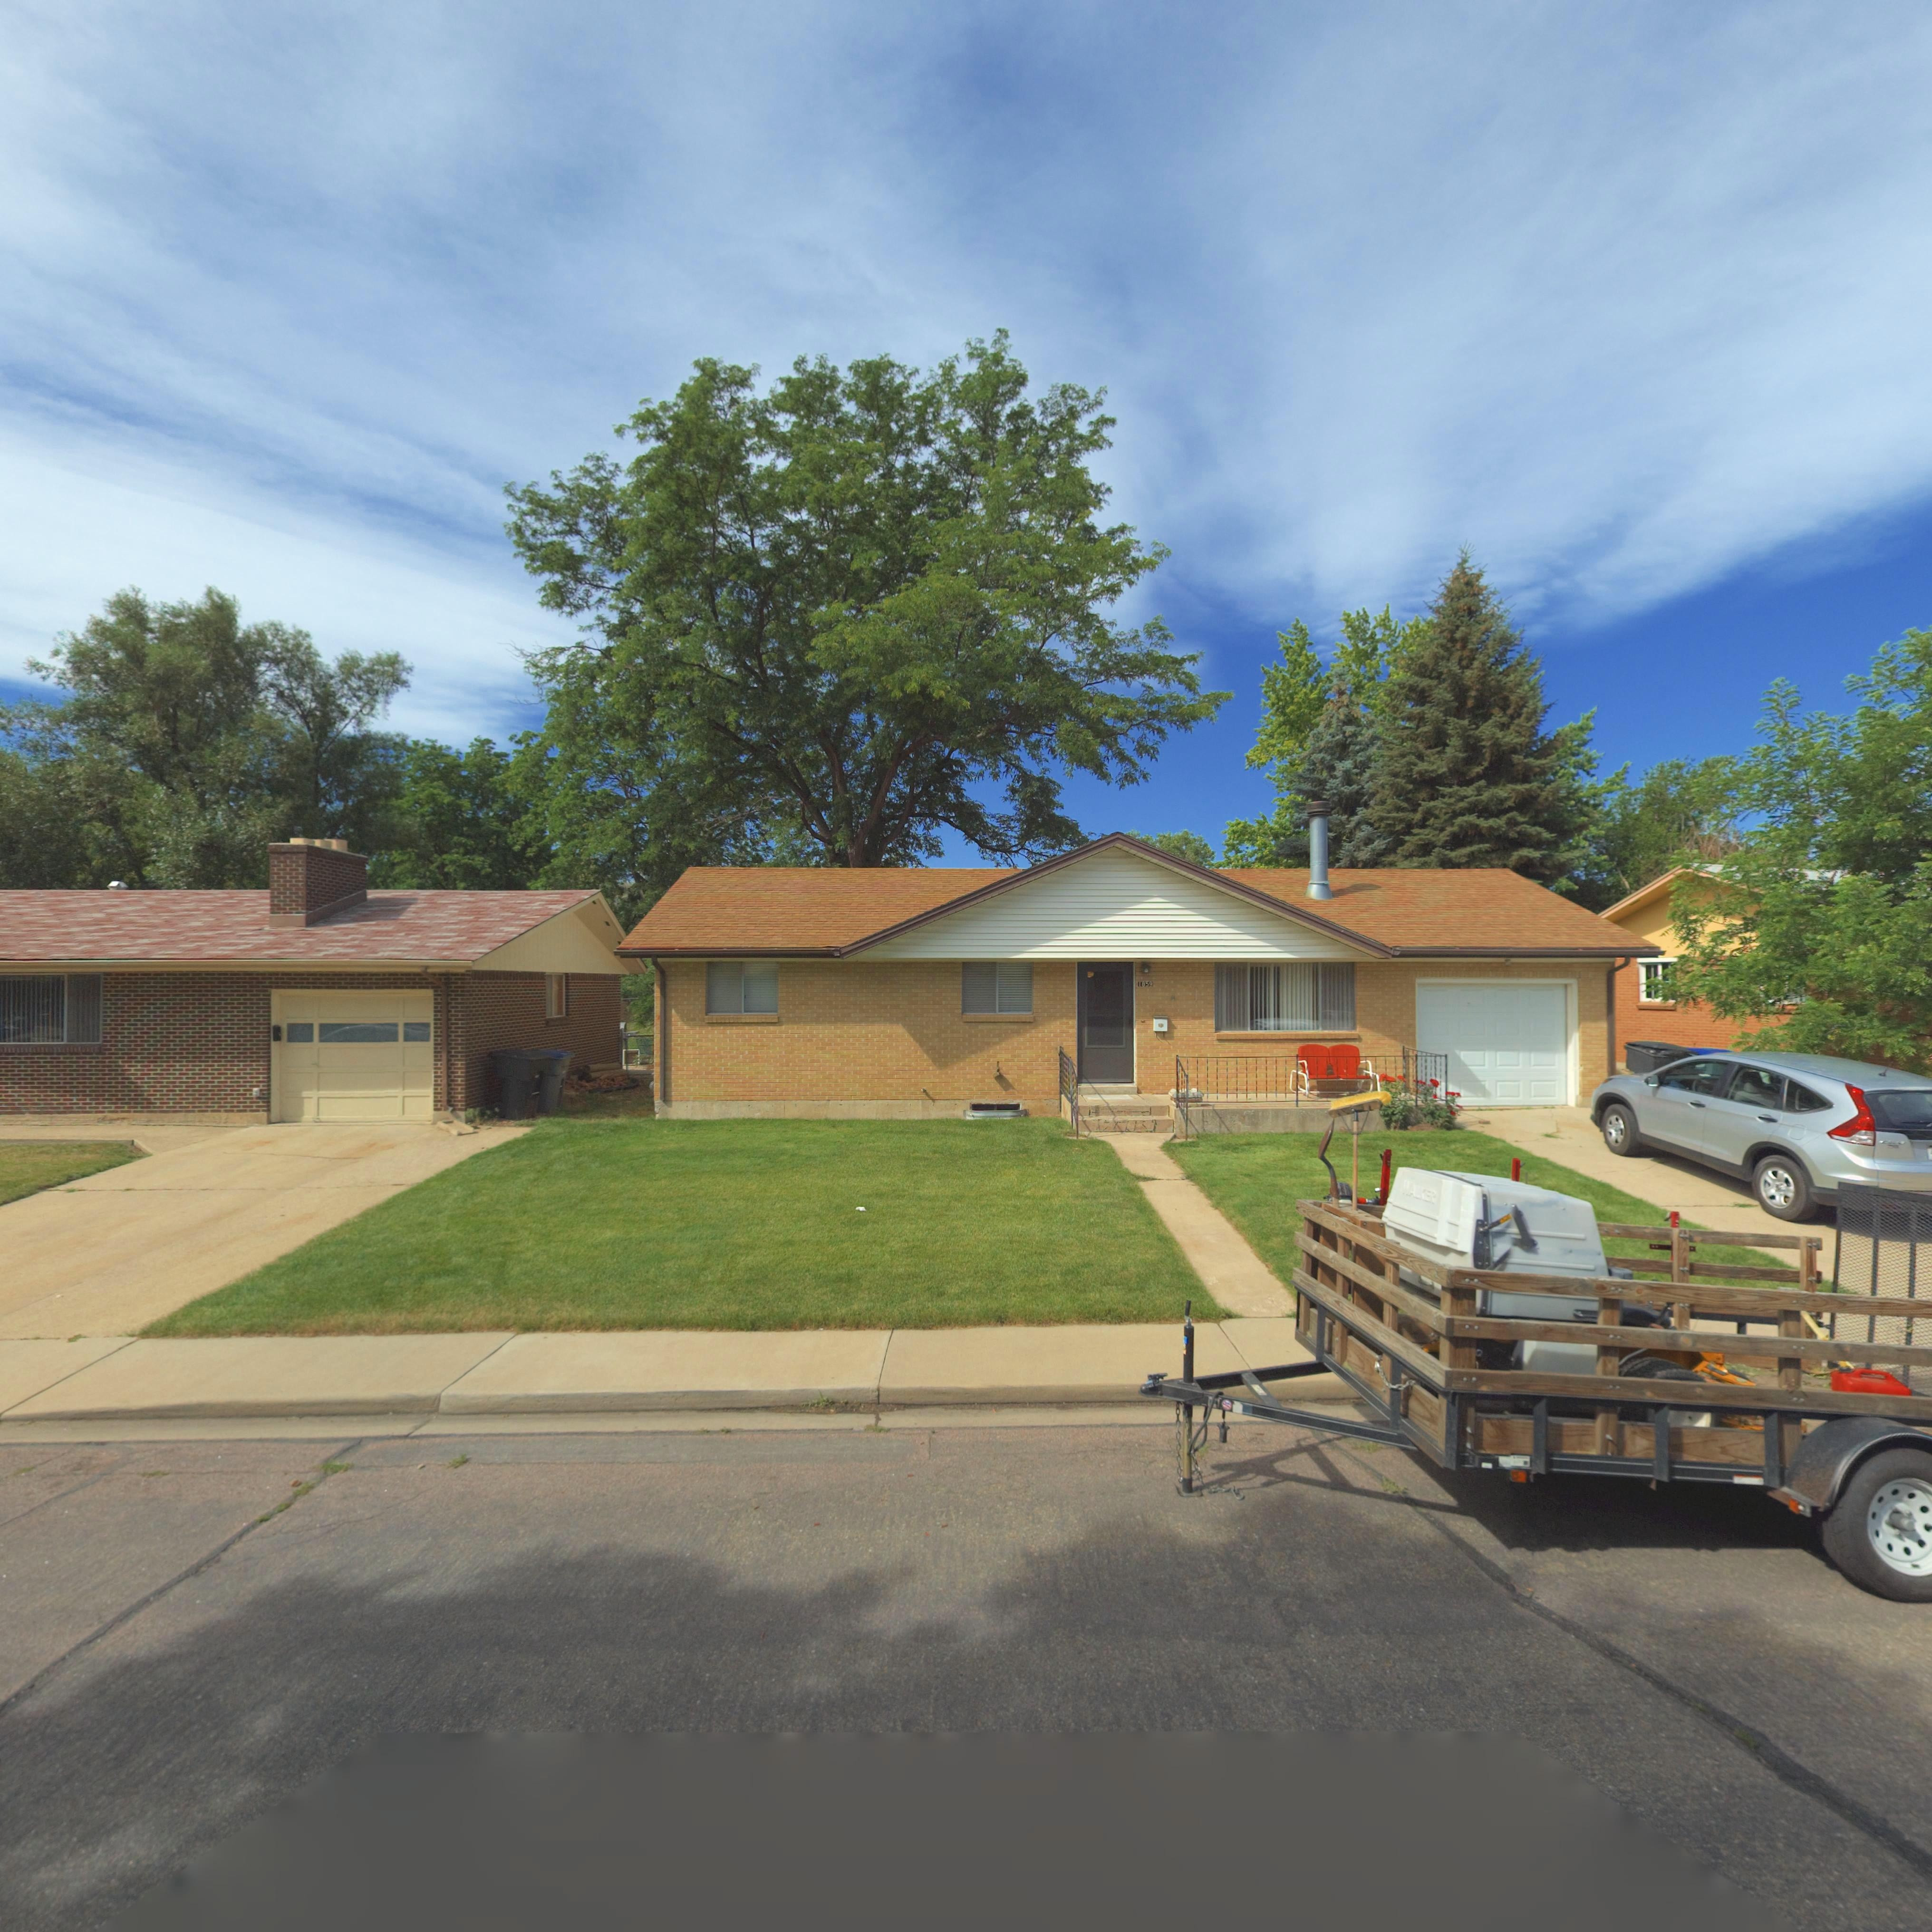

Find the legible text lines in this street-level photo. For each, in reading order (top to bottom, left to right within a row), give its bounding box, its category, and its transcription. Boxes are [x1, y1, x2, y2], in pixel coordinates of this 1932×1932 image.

[1138, 980, 1152, 986] StreetNumber: 1859